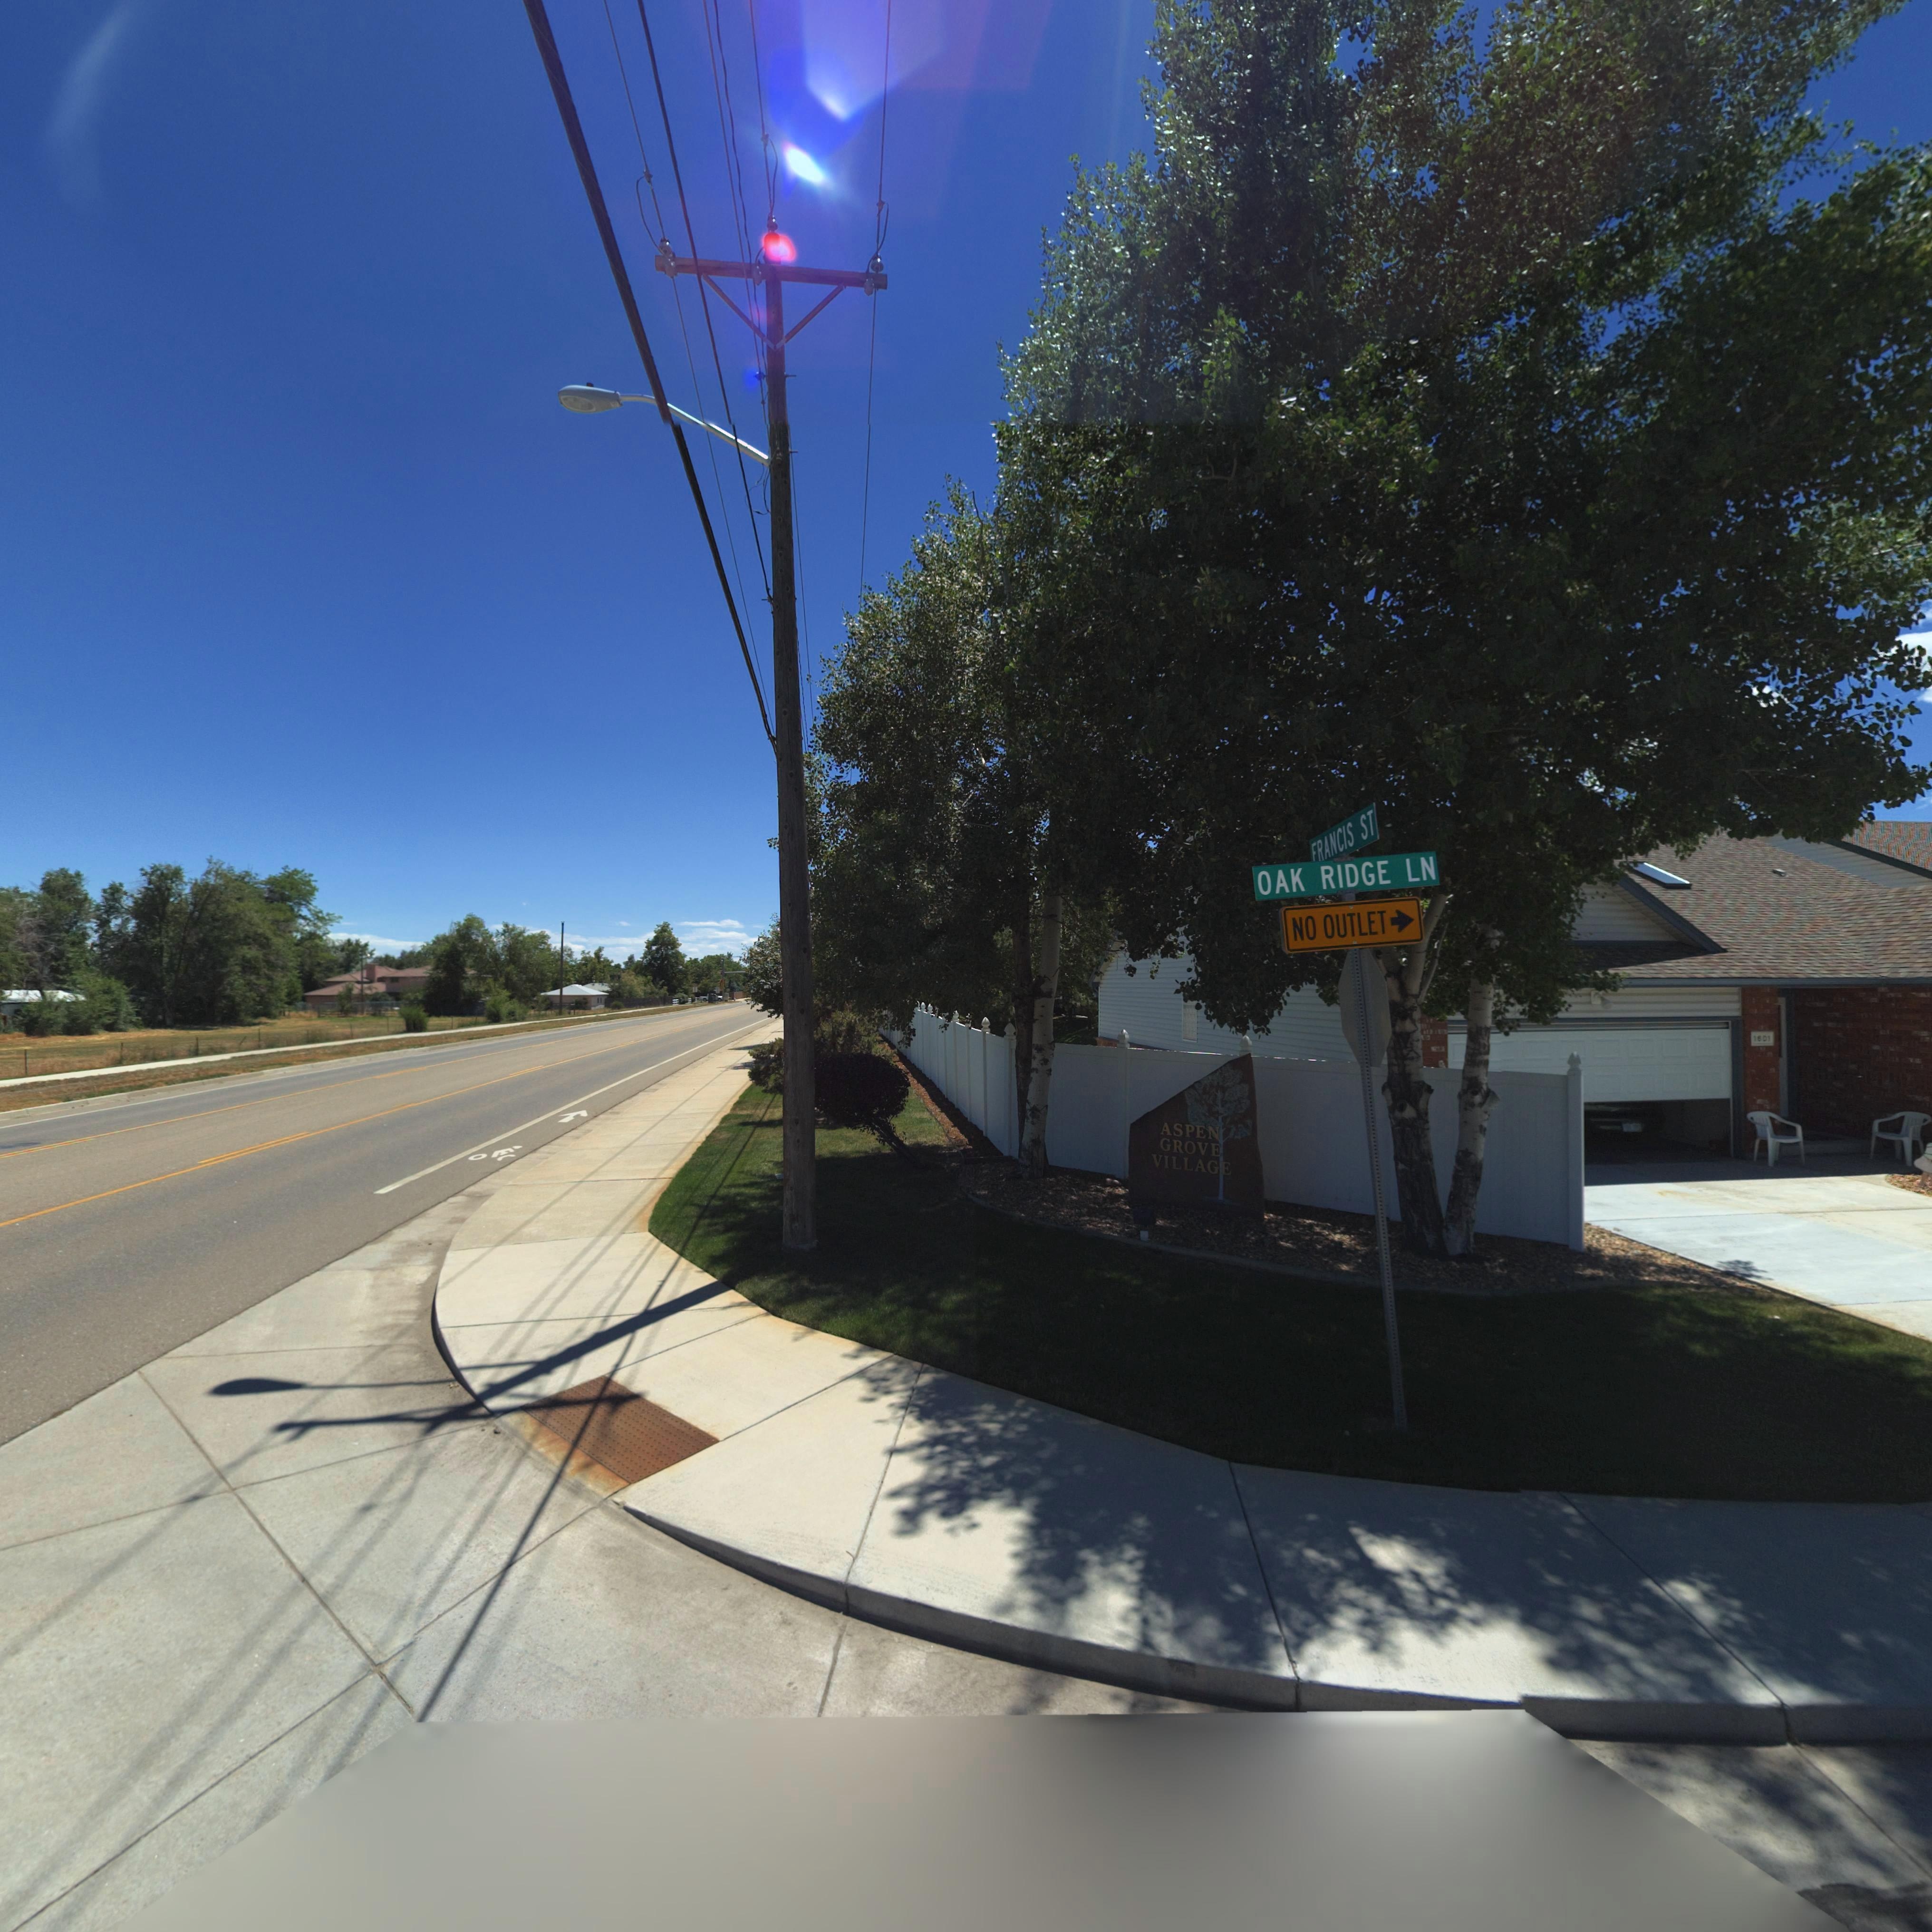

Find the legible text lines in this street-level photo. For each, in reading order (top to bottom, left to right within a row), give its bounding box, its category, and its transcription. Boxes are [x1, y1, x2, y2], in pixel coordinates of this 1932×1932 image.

[1311, 807, 1375, 862] StreetName: FRANCIS ST
[1256, 856, 1436, 896] StreetName: OAK RIDGE LN
[1753, 1035, 1771, 1042] StreetNumber: 1601